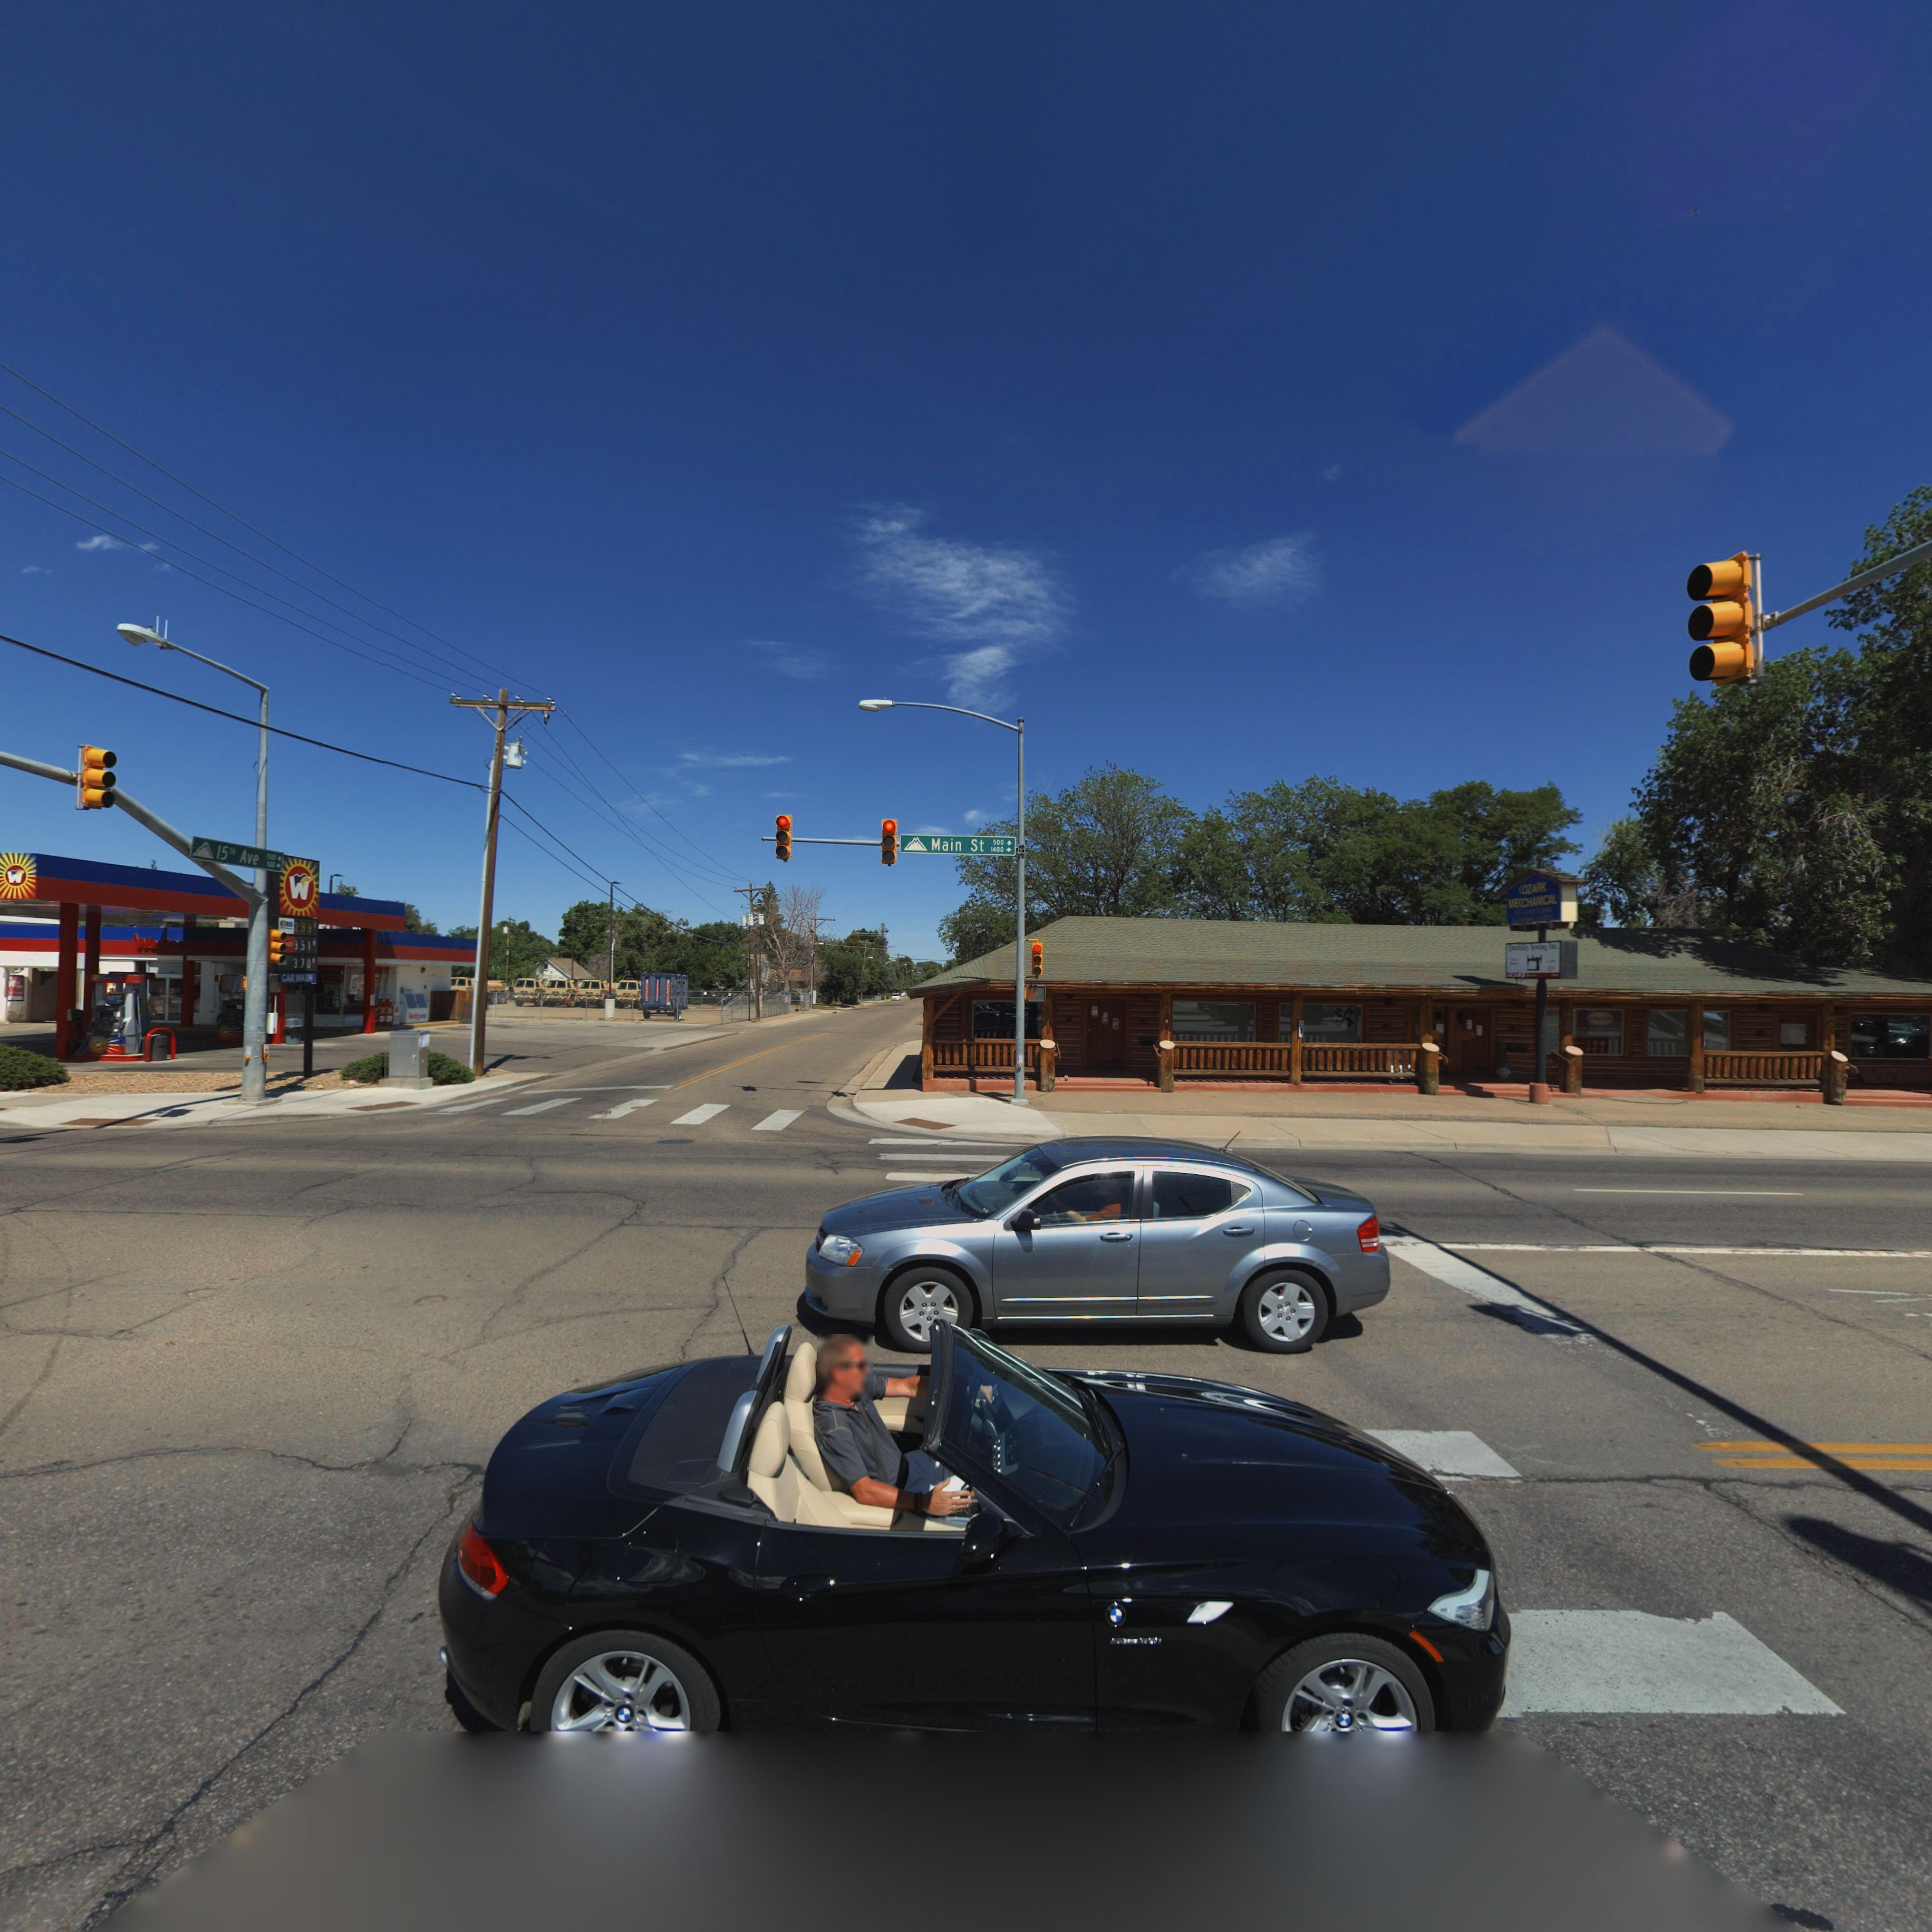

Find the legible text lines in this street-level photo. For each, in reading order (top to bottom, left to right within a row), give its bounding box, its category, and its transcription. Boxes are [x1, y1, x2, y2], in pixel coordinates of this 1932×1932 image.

[216, 844, 259, 865] StreetName: 15th Ave
[266, 853, 276, 860] StreetNumberRange: 1500
[931, 838, 983, 851] StreetName: Main St
[993, 839, 1004, 845] StreetNumberRange: 500
[991, 846, 1011, 852] StreetNumberRange: 1400->
[266, 861, 280, 868] StreetNumberRange: 500->
[7, 871, 22, 883] BusinessName: W
[289, 876, 309, 900] BusinessName: W
[1522, 881, 1546, 894] BusinessName: OZARK
[1507, 894, 1557, 908] BusinessName: ME*CHANICAL
[1507, 942, 1559, 952] BusinessName: ***lity S*wing I*c.